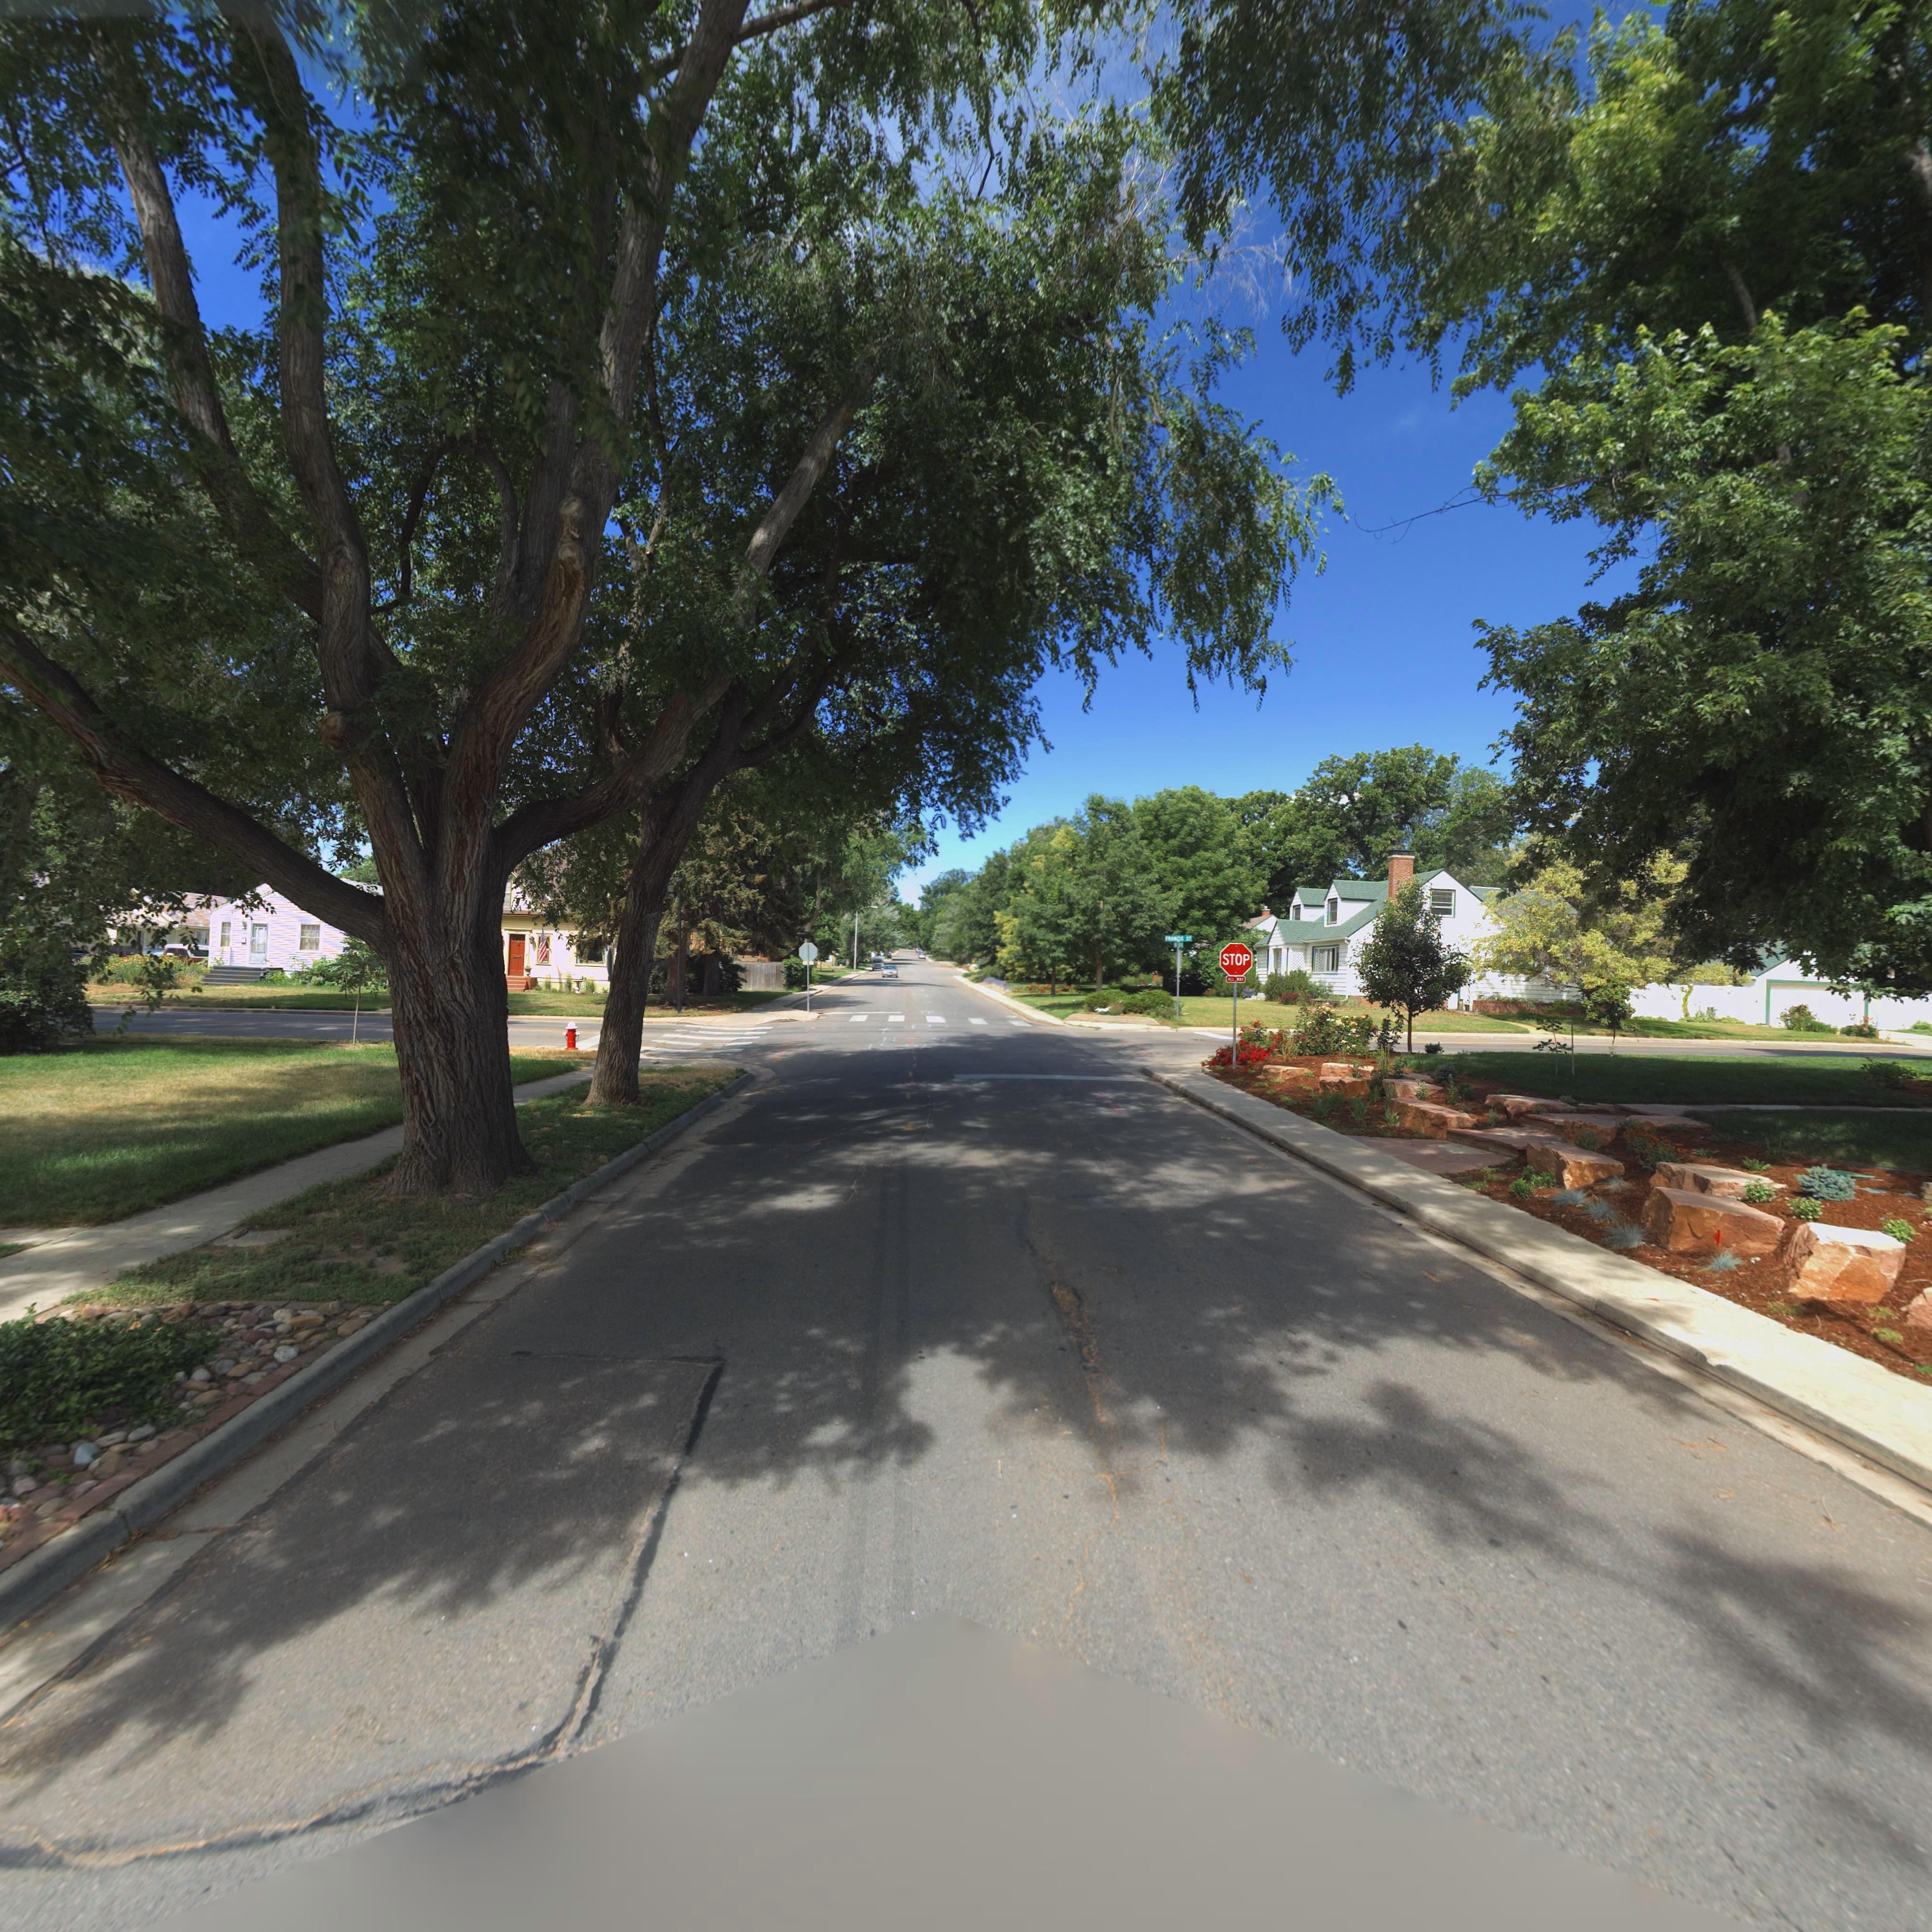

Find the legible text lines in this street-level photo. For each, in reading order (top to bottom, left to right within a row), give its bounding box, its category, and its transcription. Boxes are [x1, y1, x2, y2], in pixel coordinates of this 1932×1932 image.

[1165, 936, 1192, 941] StreetName: FRAN**S ST